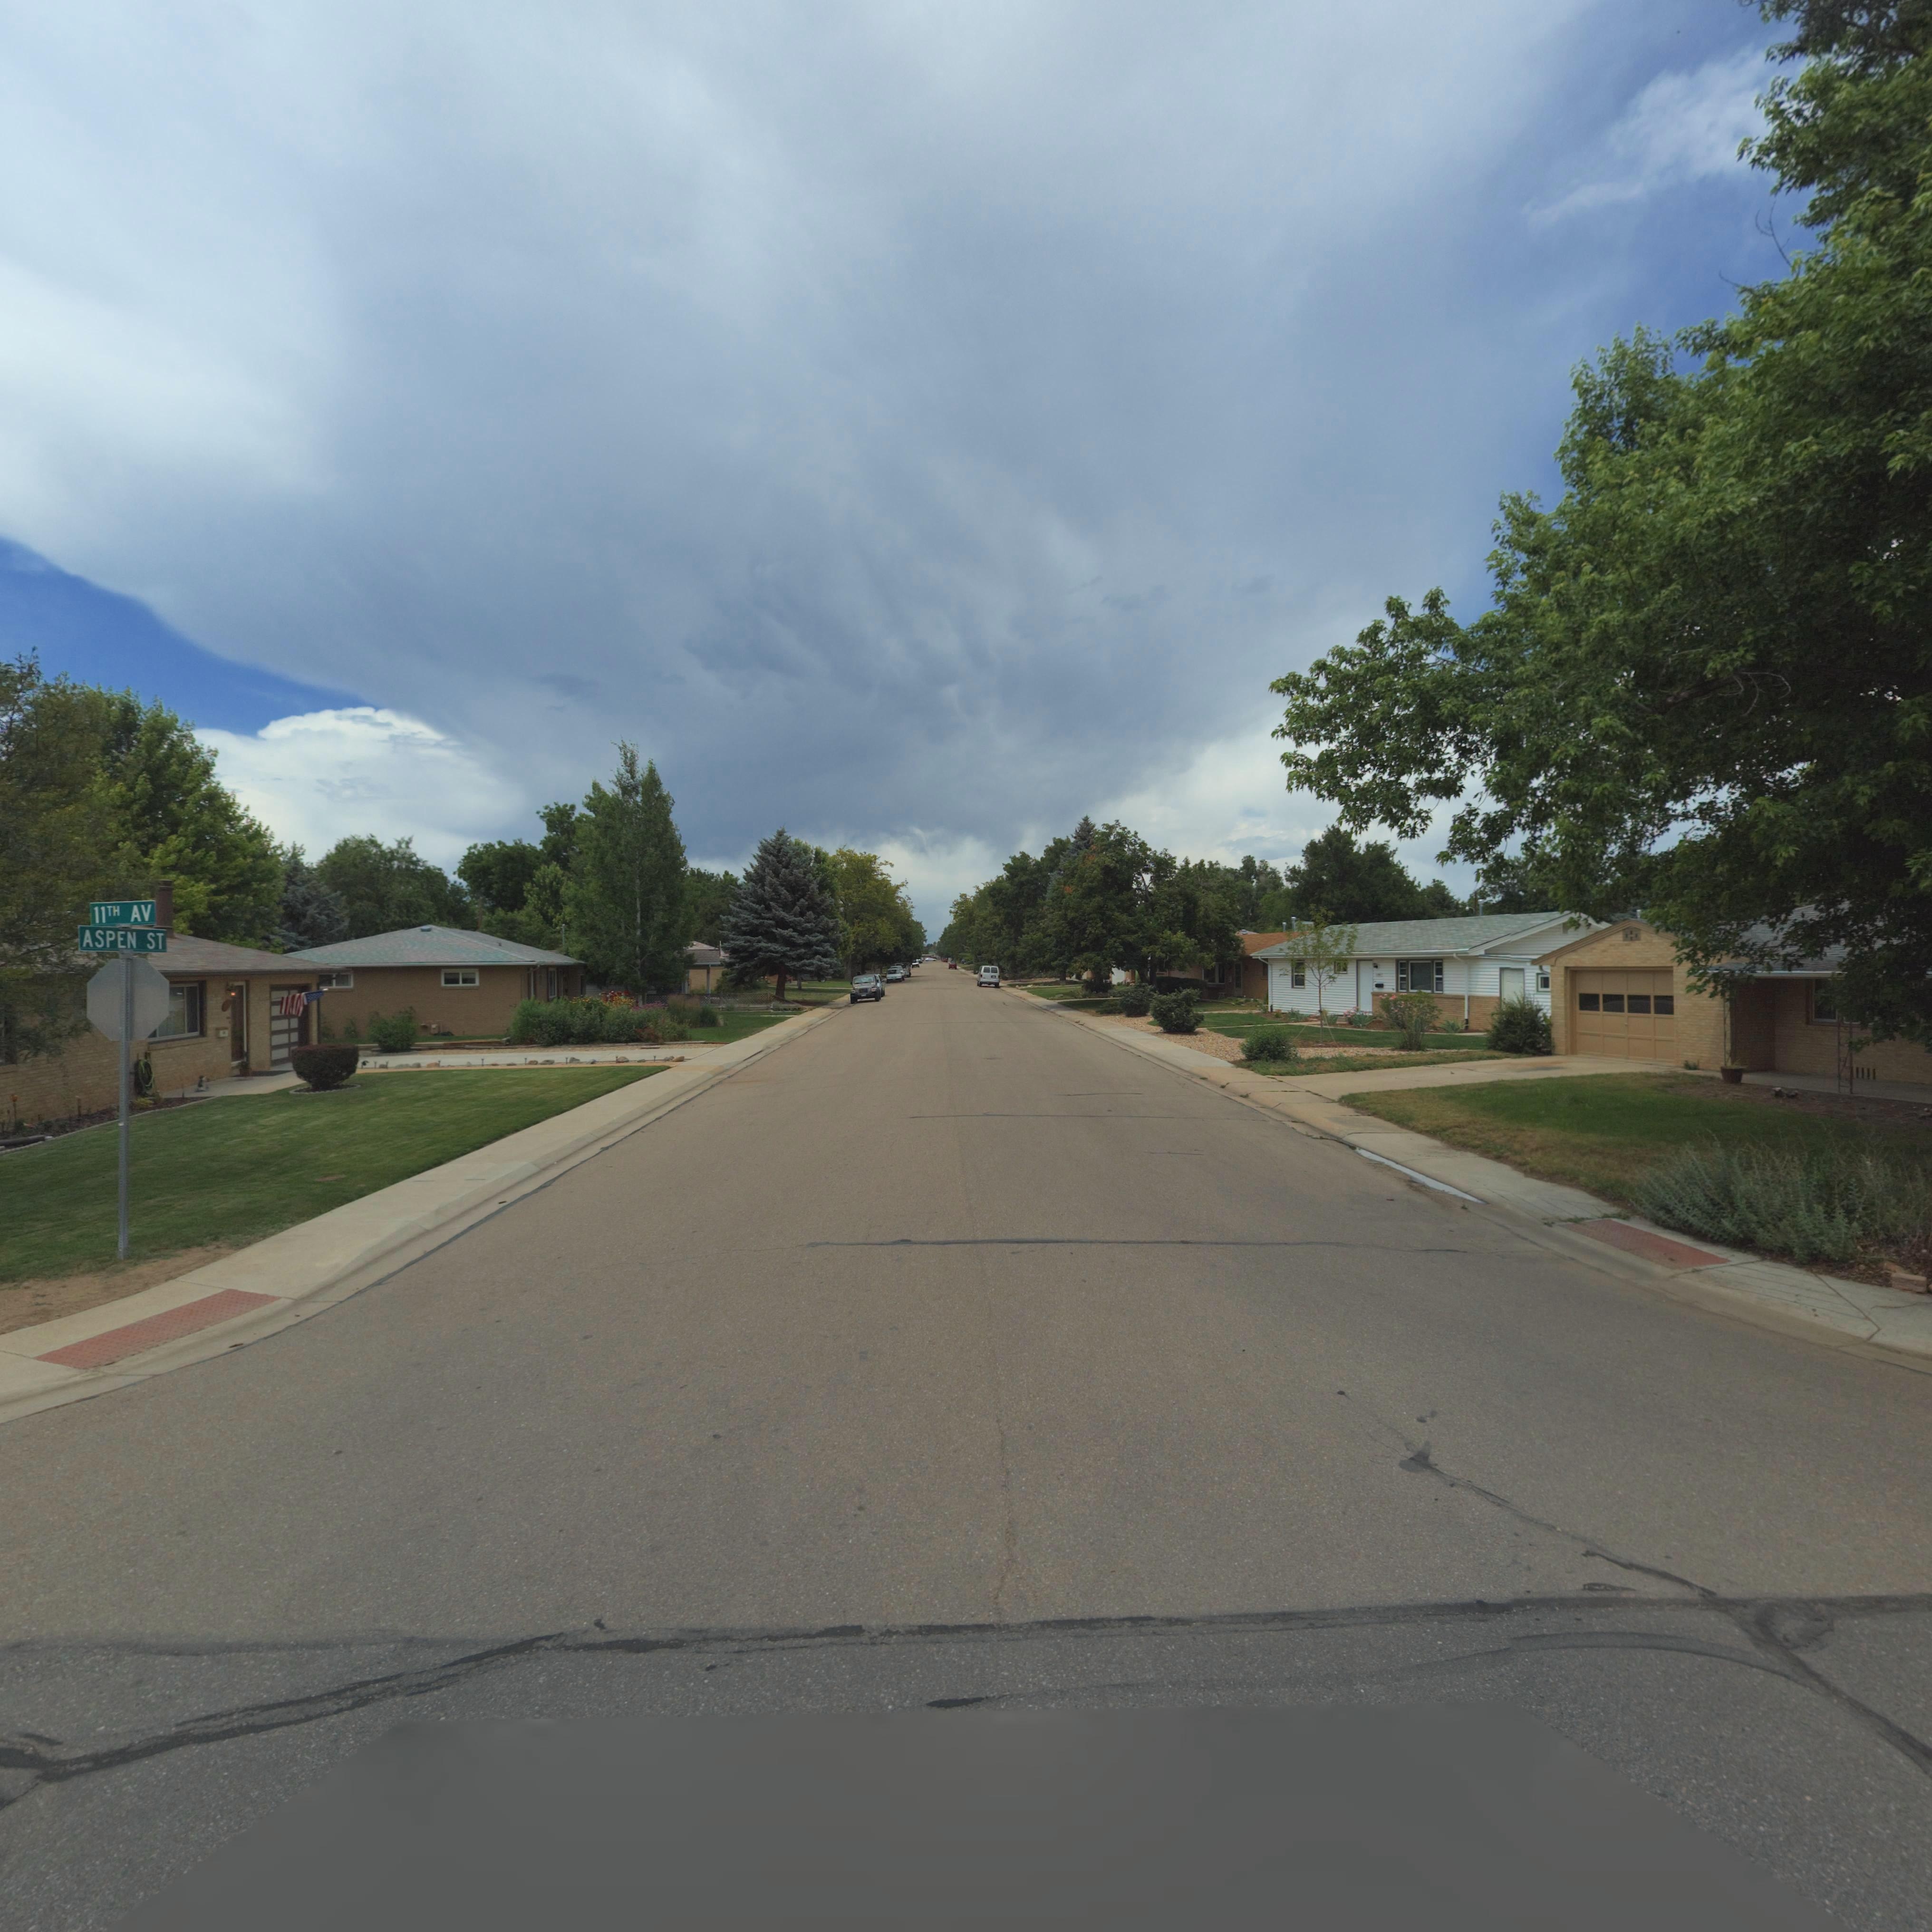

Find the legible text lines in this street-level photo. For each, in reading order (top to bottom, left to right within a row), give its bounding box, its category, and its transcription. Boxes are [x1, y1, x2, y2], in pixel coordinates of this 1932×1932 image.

[93, 903, 151, 924] StreetName: 11TH AV
[83, 929, 164, 949] StreetName: ASPEN ST